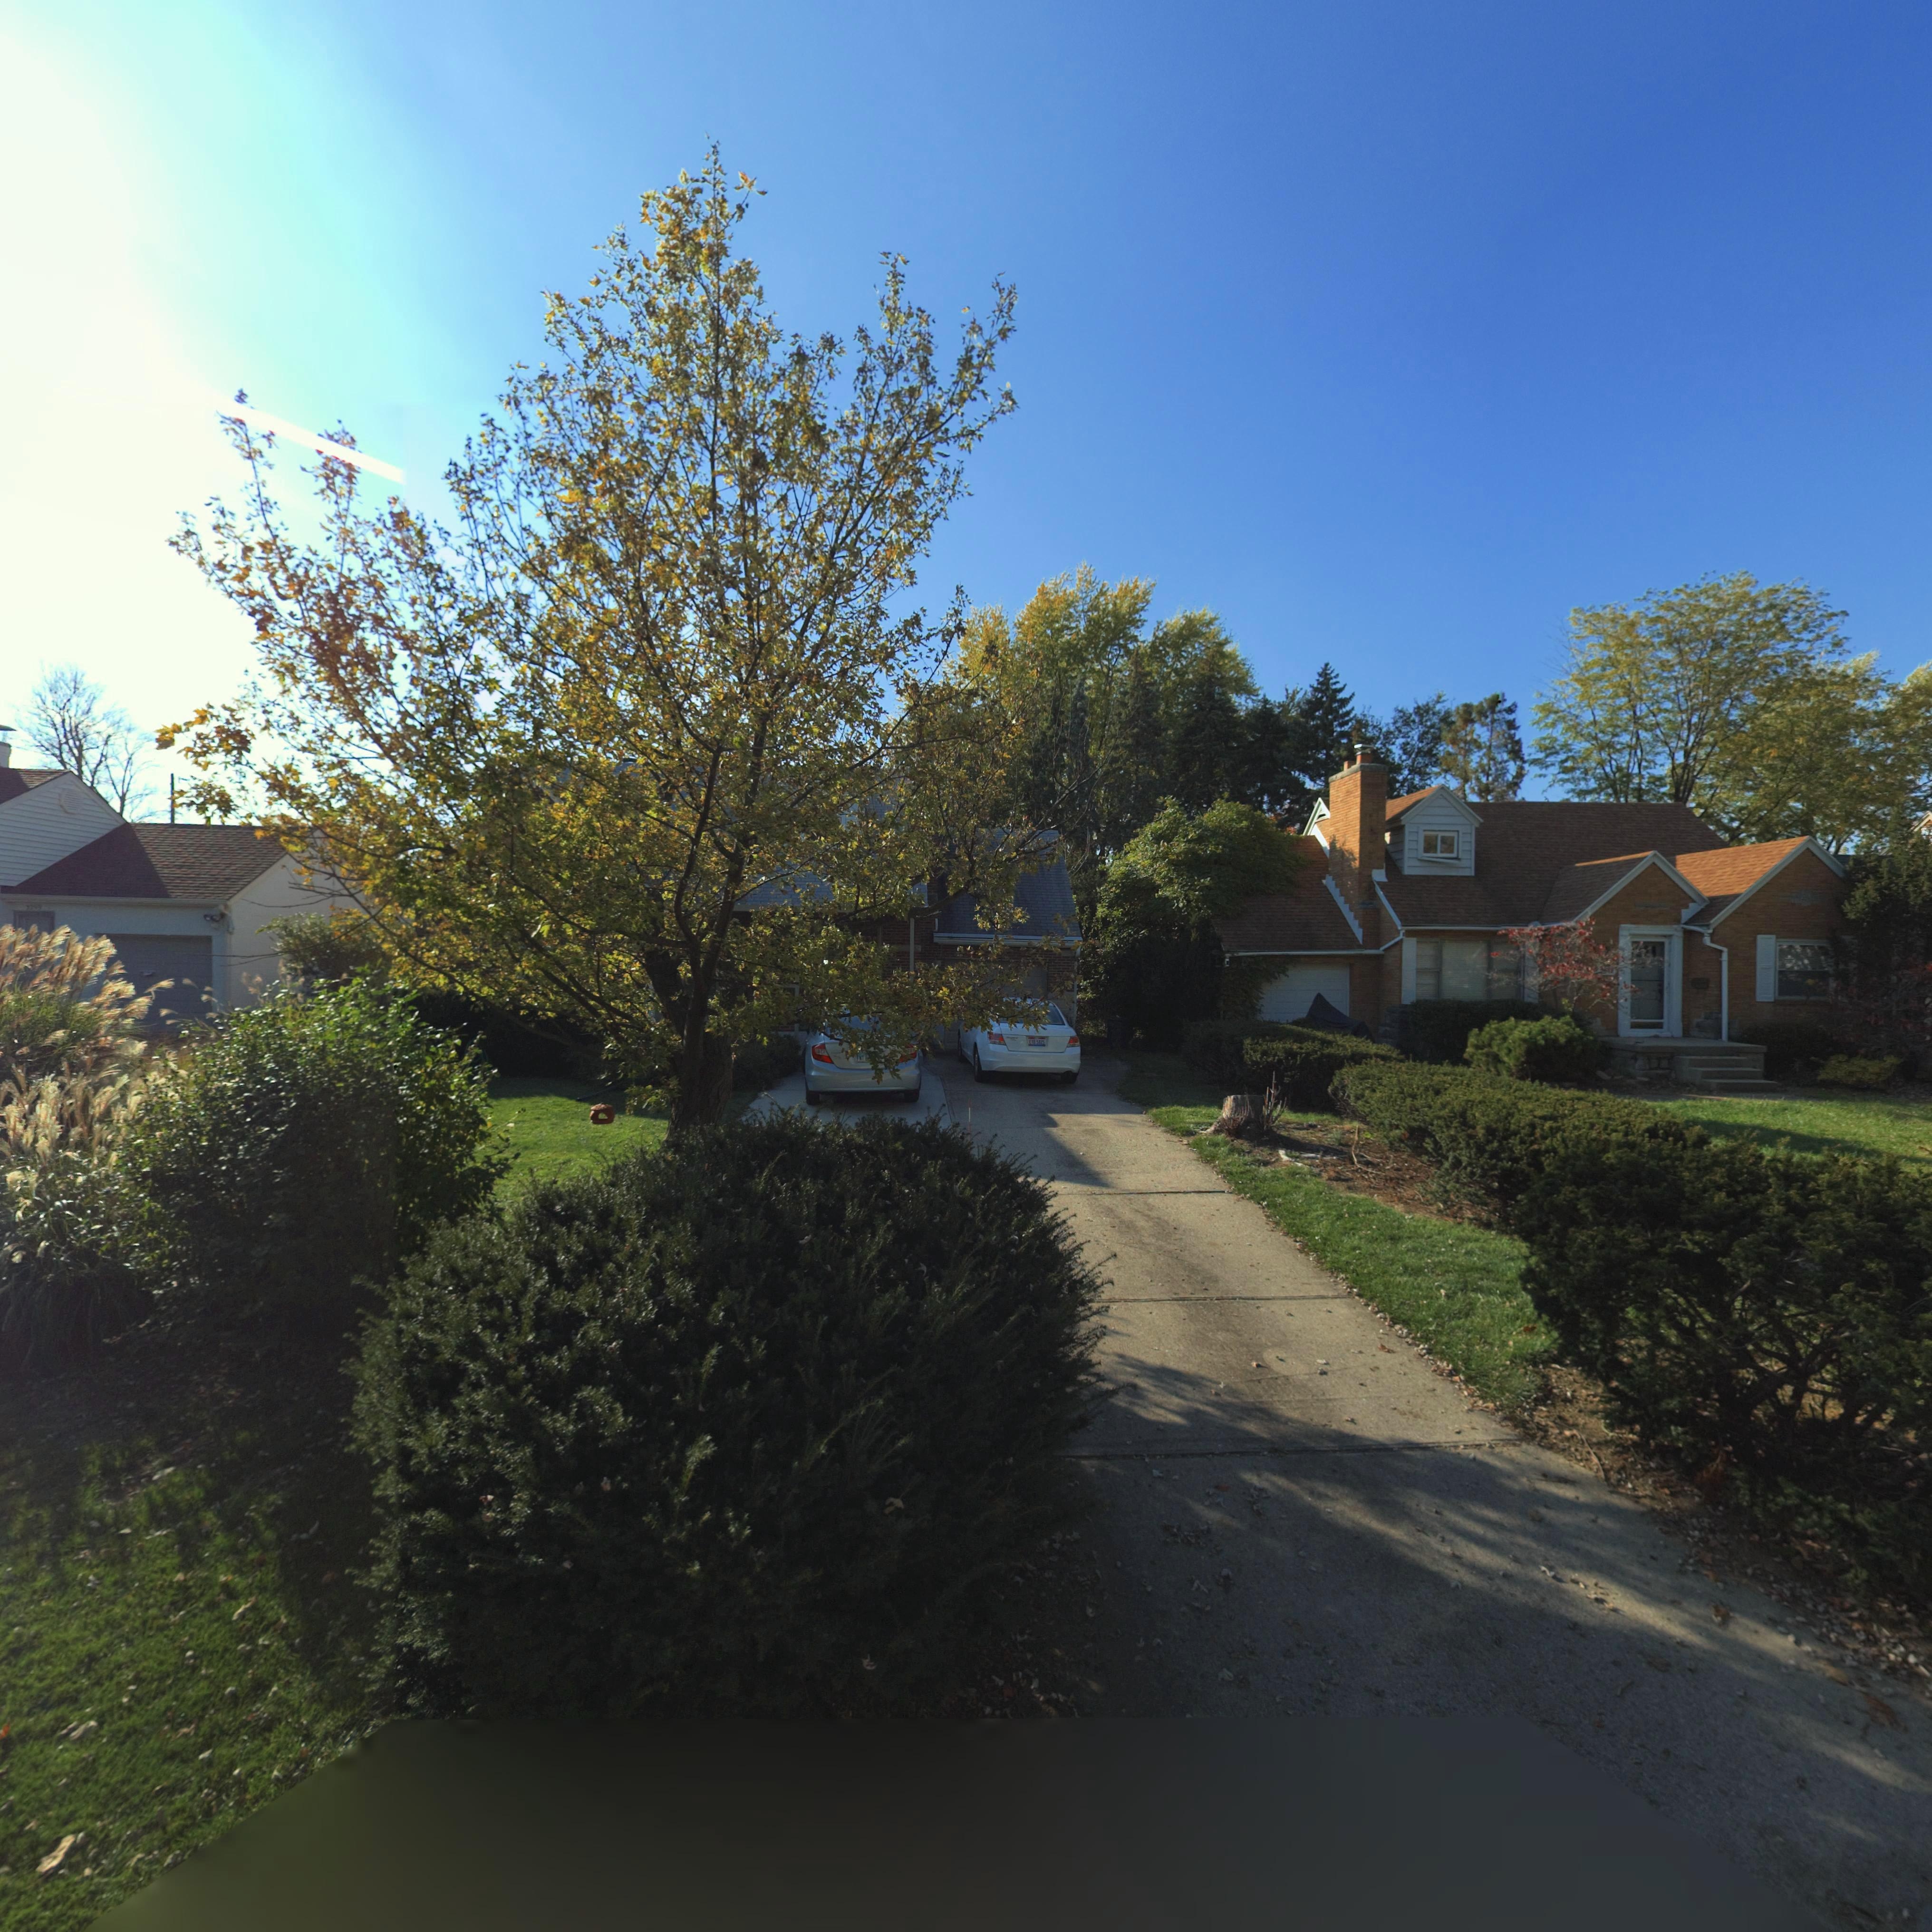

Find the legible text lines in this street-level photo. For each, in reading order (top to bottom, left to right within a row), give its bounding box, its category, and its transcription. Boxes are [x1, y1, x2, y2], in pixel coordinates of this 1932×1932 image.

[25, 904, 42, 911] StreetNumber: 3259